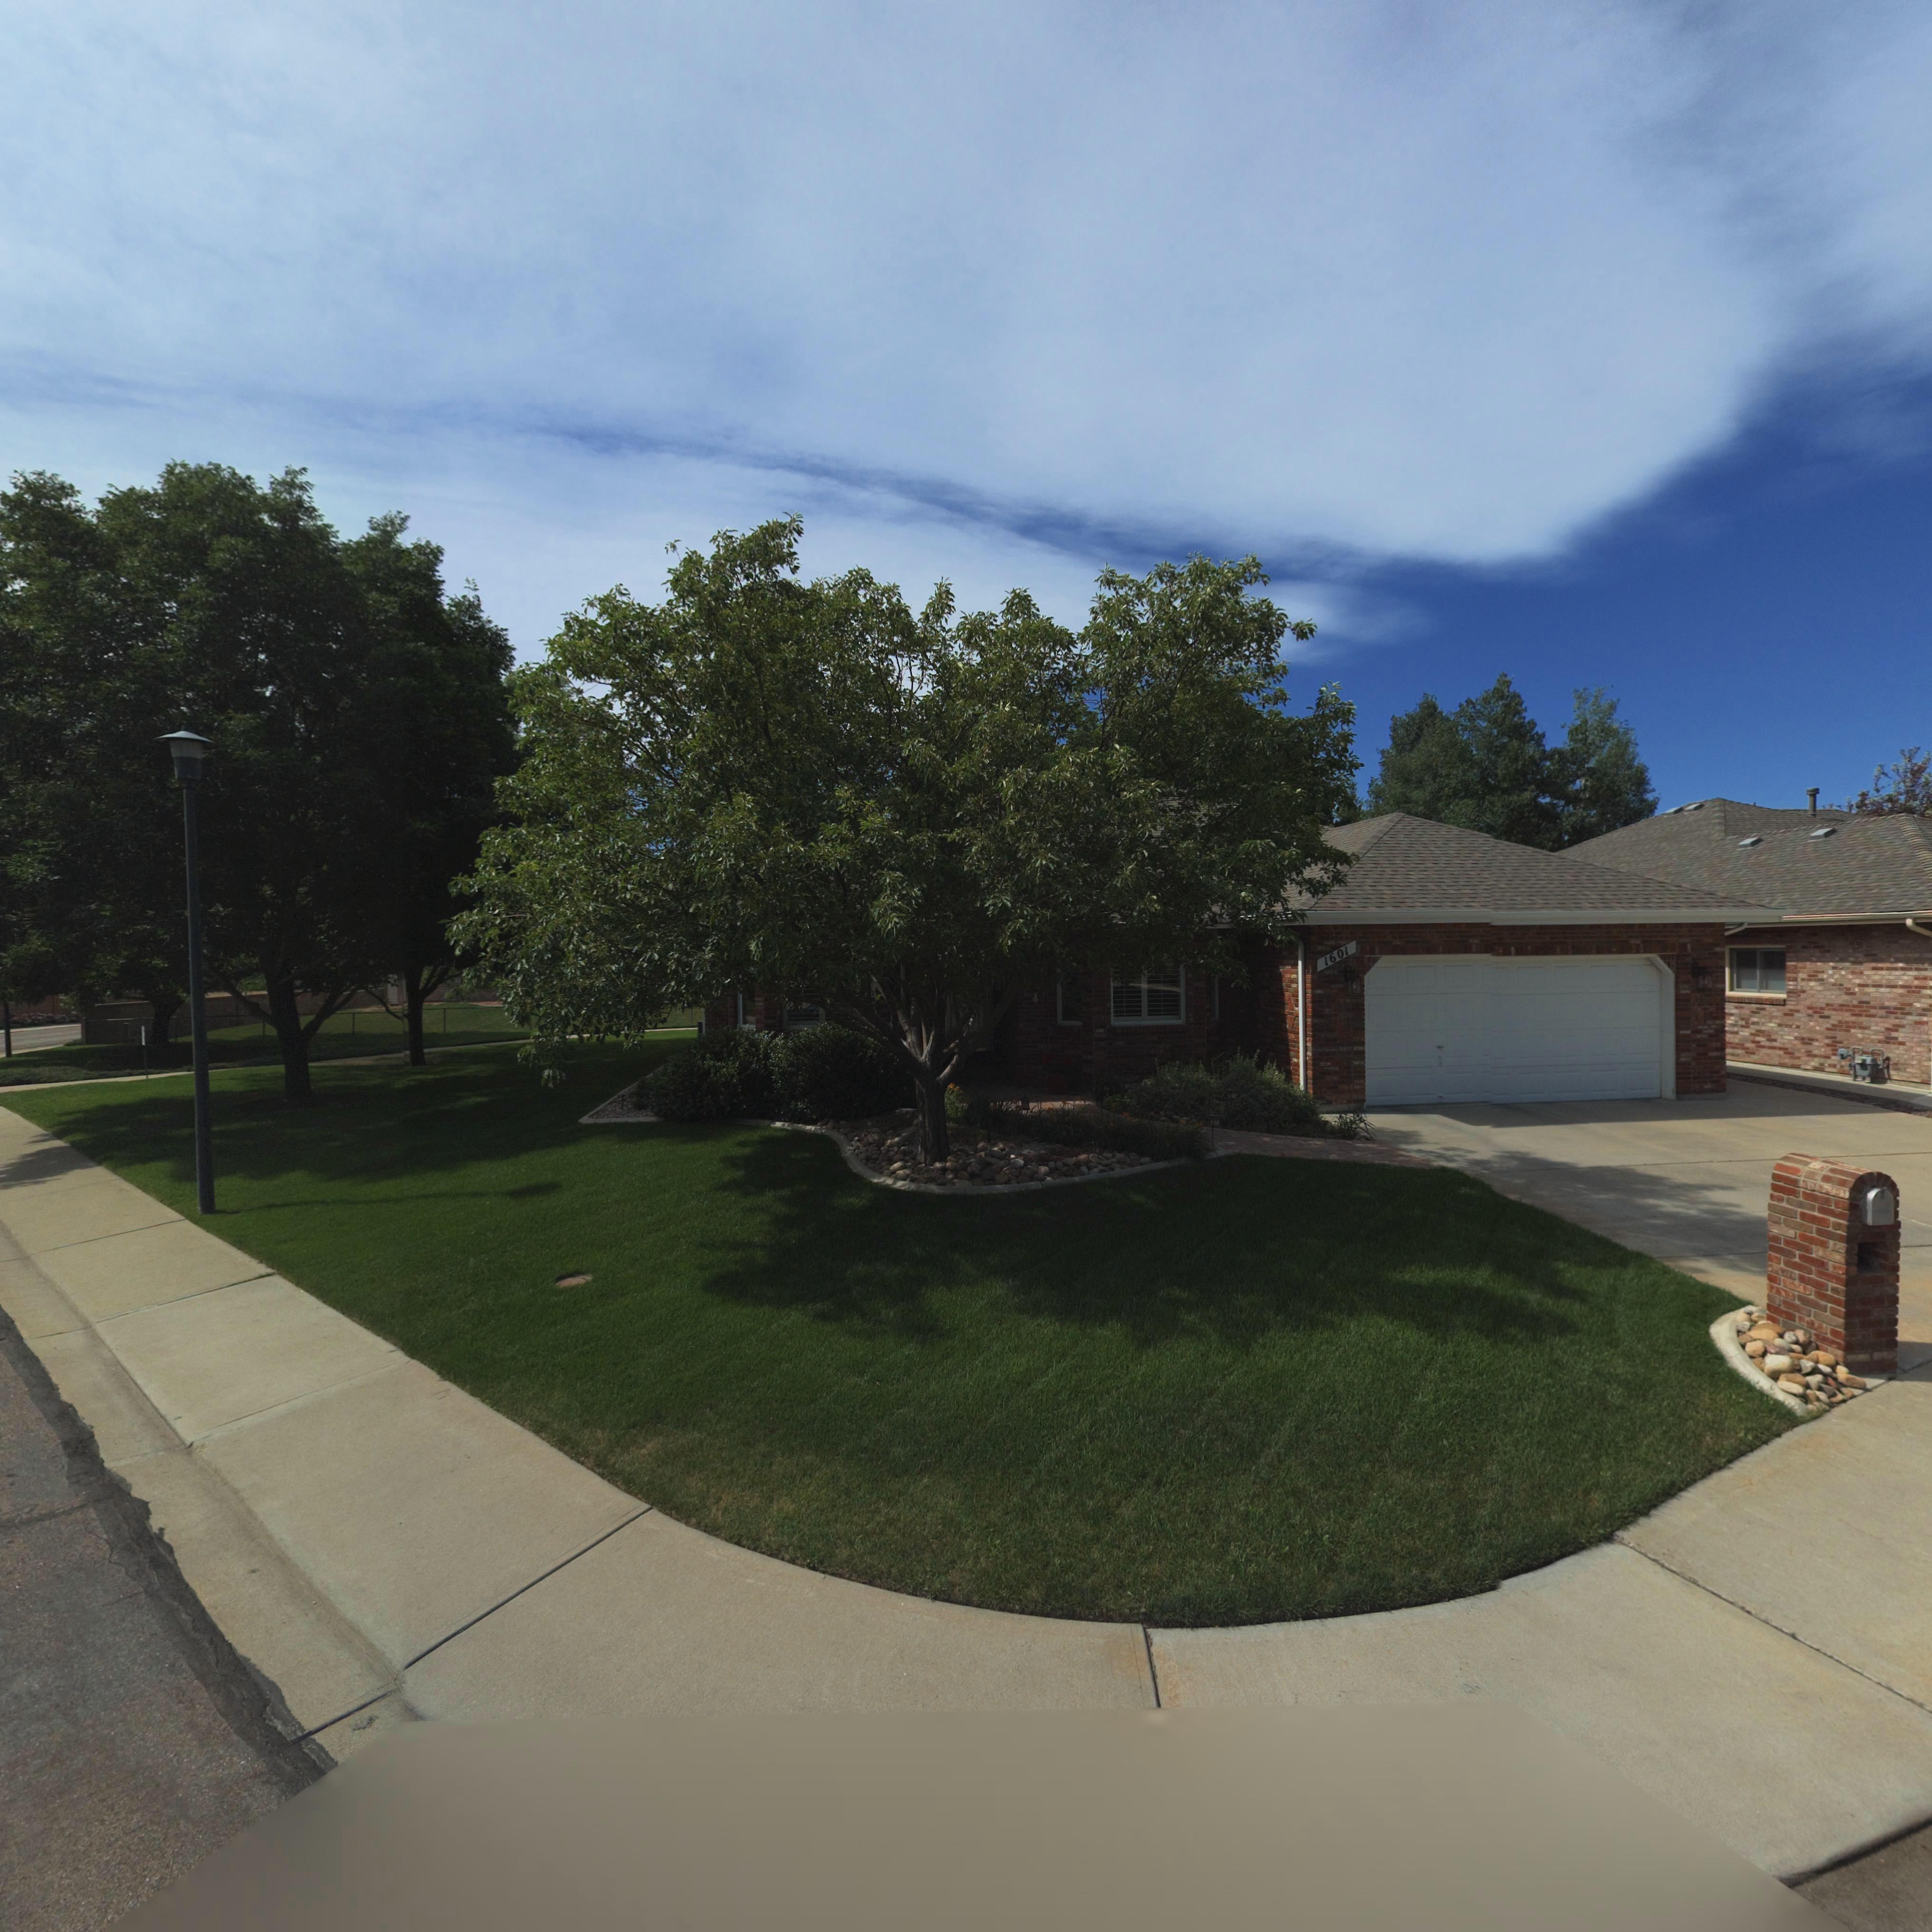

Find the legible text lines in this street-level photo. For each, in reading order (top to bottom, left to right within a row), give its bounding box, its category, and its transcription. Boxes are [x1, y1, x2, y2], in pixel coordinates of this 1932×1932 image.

[1324, 945, 1349, 966] StreetNumber: 1601